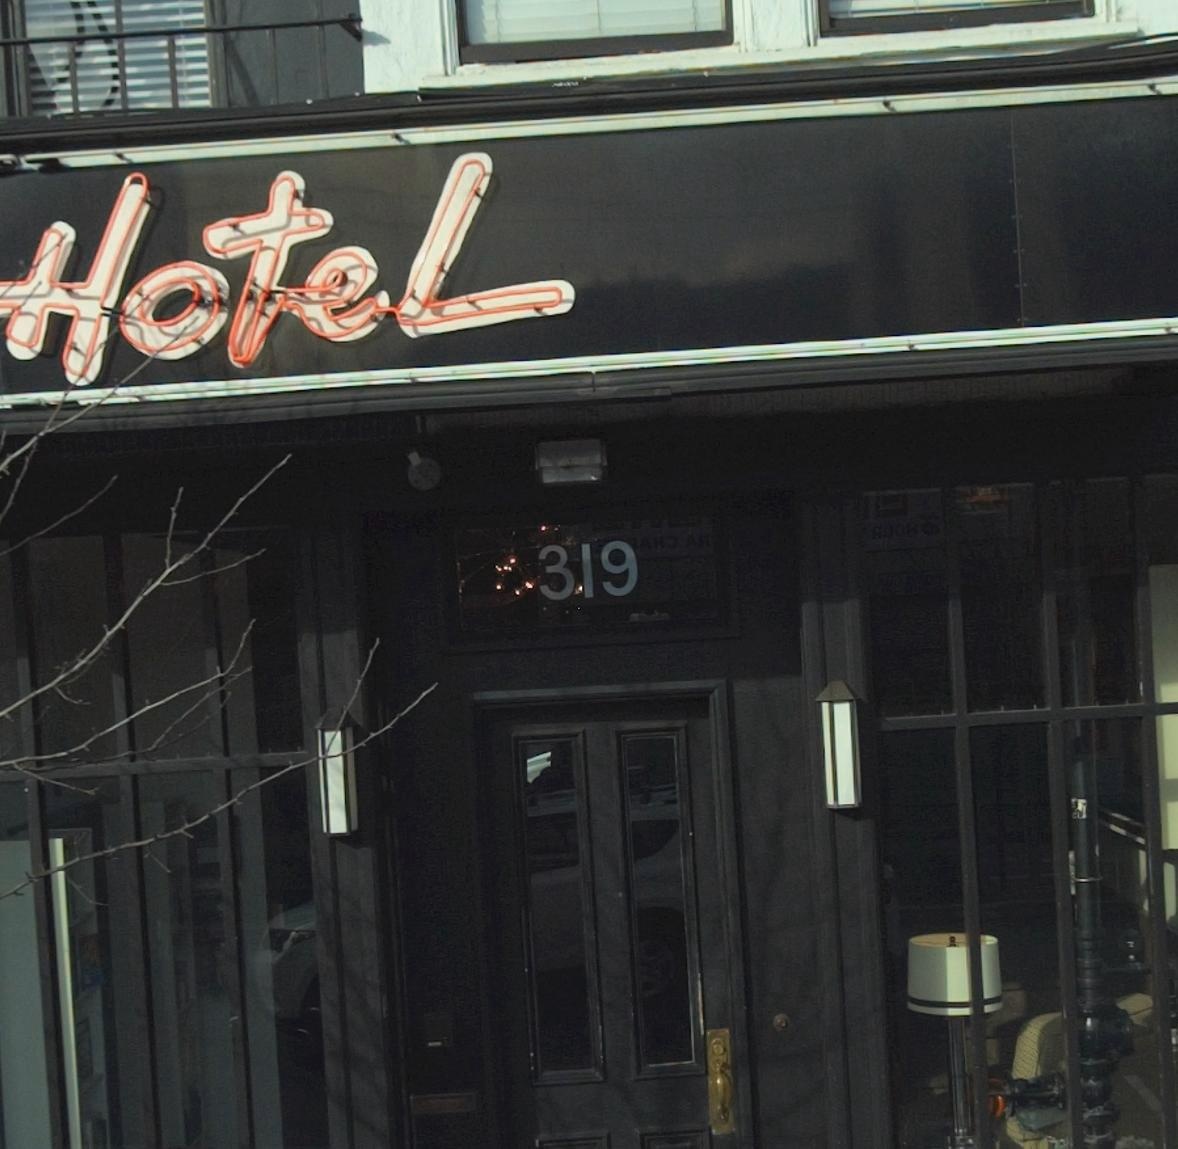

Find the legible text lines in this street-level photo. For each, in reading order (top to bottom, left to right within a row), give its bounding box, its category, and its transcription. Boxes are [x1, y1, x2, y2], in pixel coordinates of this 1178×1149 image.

[0, 146, 582, 388] None: Hotel
[535, 534, 643, 605] StreetNumber: 319